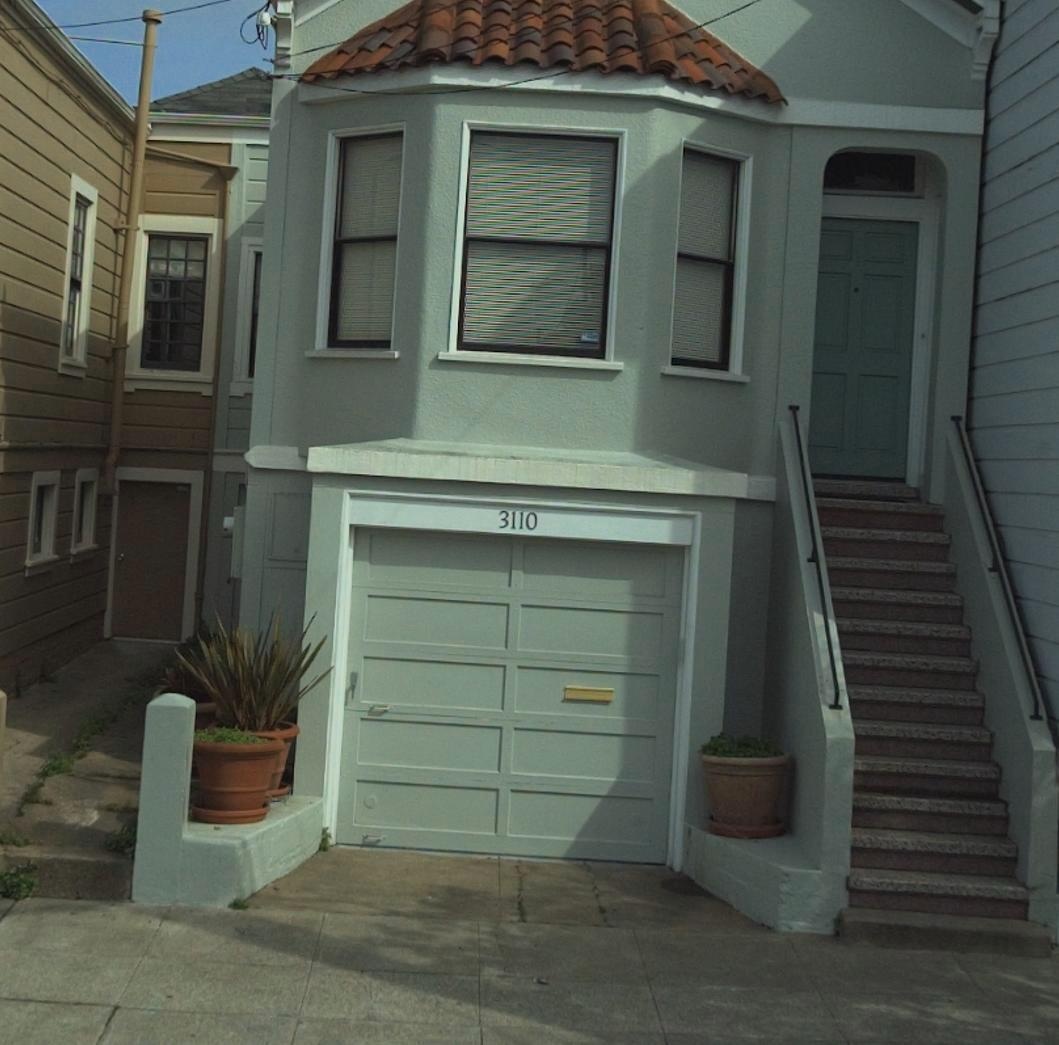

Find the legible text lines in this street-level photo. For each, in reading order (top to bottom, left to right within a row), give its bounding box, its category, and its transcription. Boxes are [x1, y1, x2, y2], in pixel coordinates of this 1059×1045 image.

[495, 508, 540, 533] StreetNumber: 3110